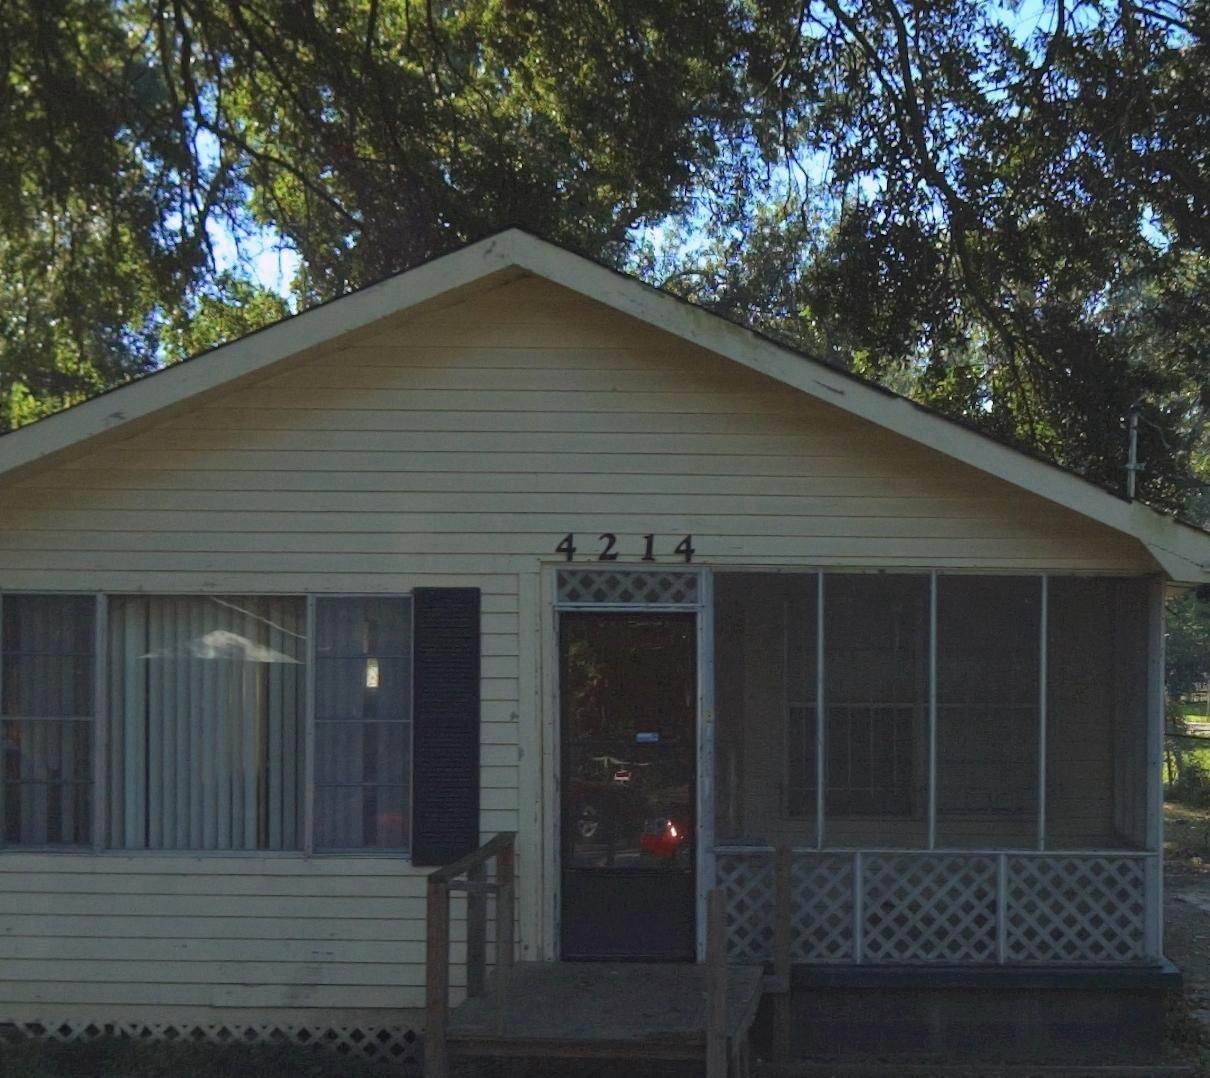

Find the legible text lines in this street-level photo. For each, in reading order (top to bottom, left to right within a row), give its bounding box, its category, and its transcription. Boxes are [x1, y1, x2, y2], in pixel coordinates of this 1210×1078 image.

[550, 530, 697, 565] StreetNumber: 4214